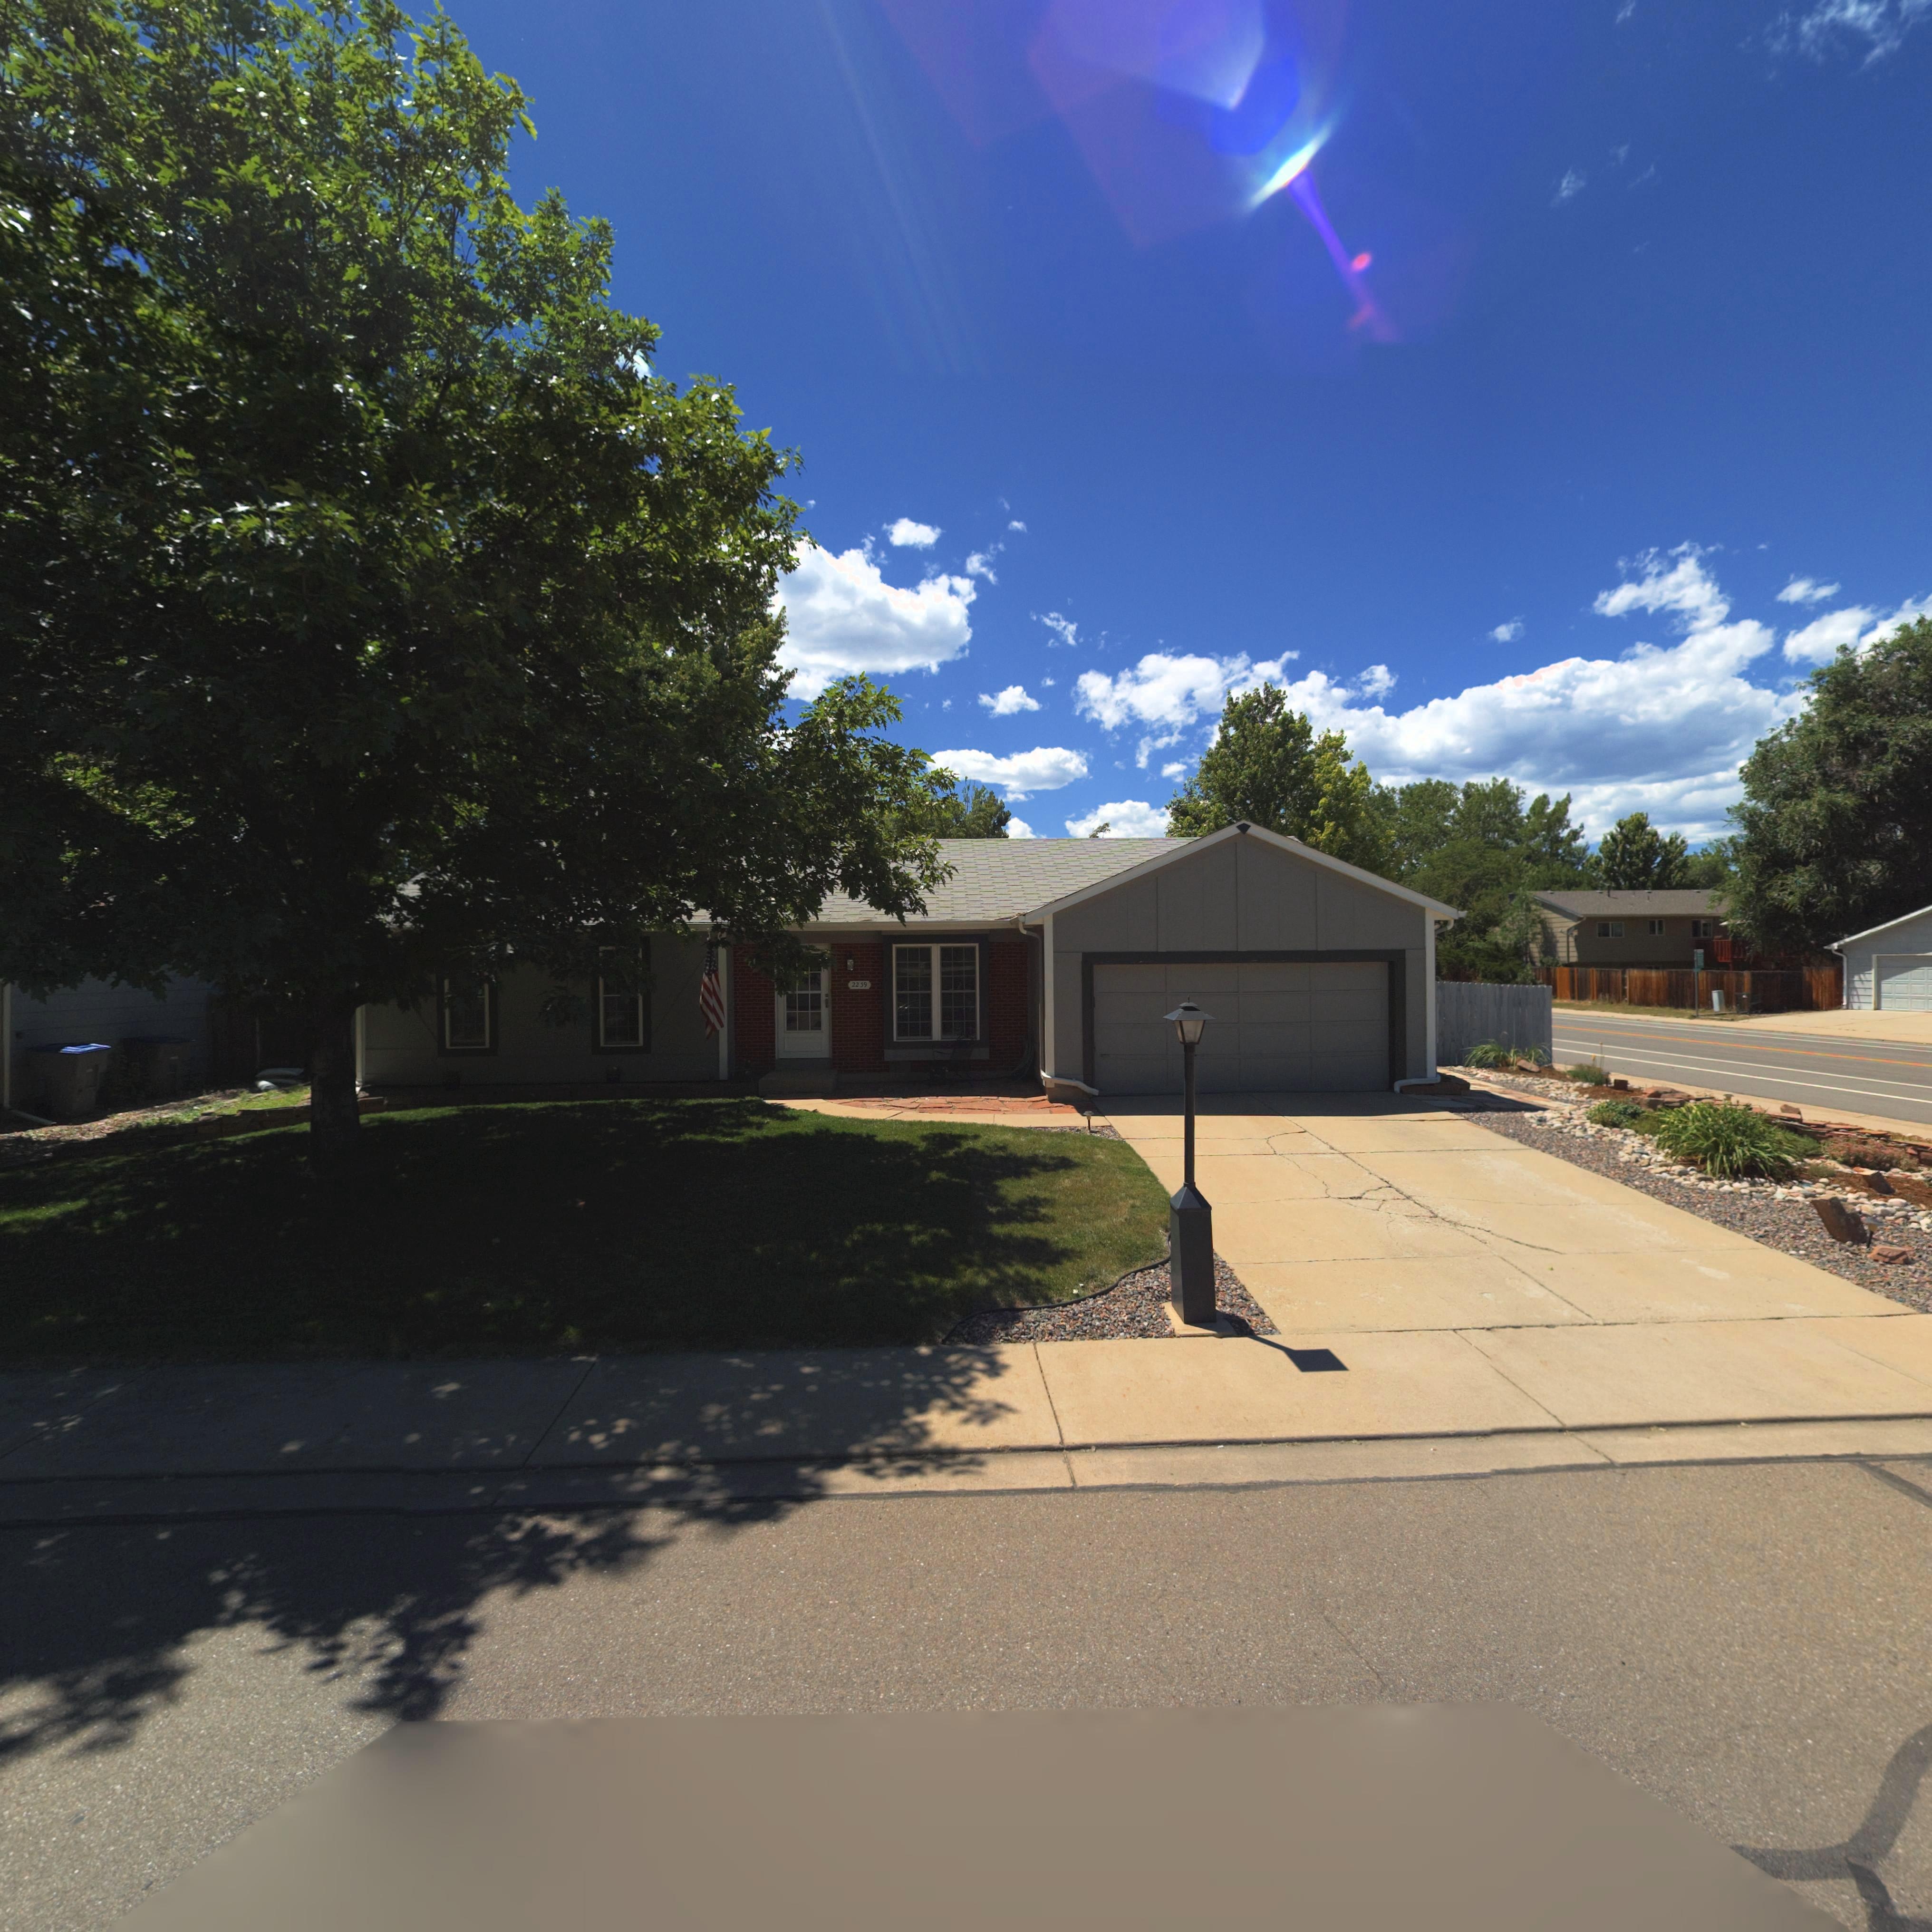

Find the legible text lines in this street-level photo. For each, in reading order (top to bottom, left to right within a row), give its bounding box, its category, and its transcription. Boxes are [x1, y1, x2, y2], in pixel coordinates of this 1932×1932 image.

[851, 982, 867, 987] StreetNumber: 2239